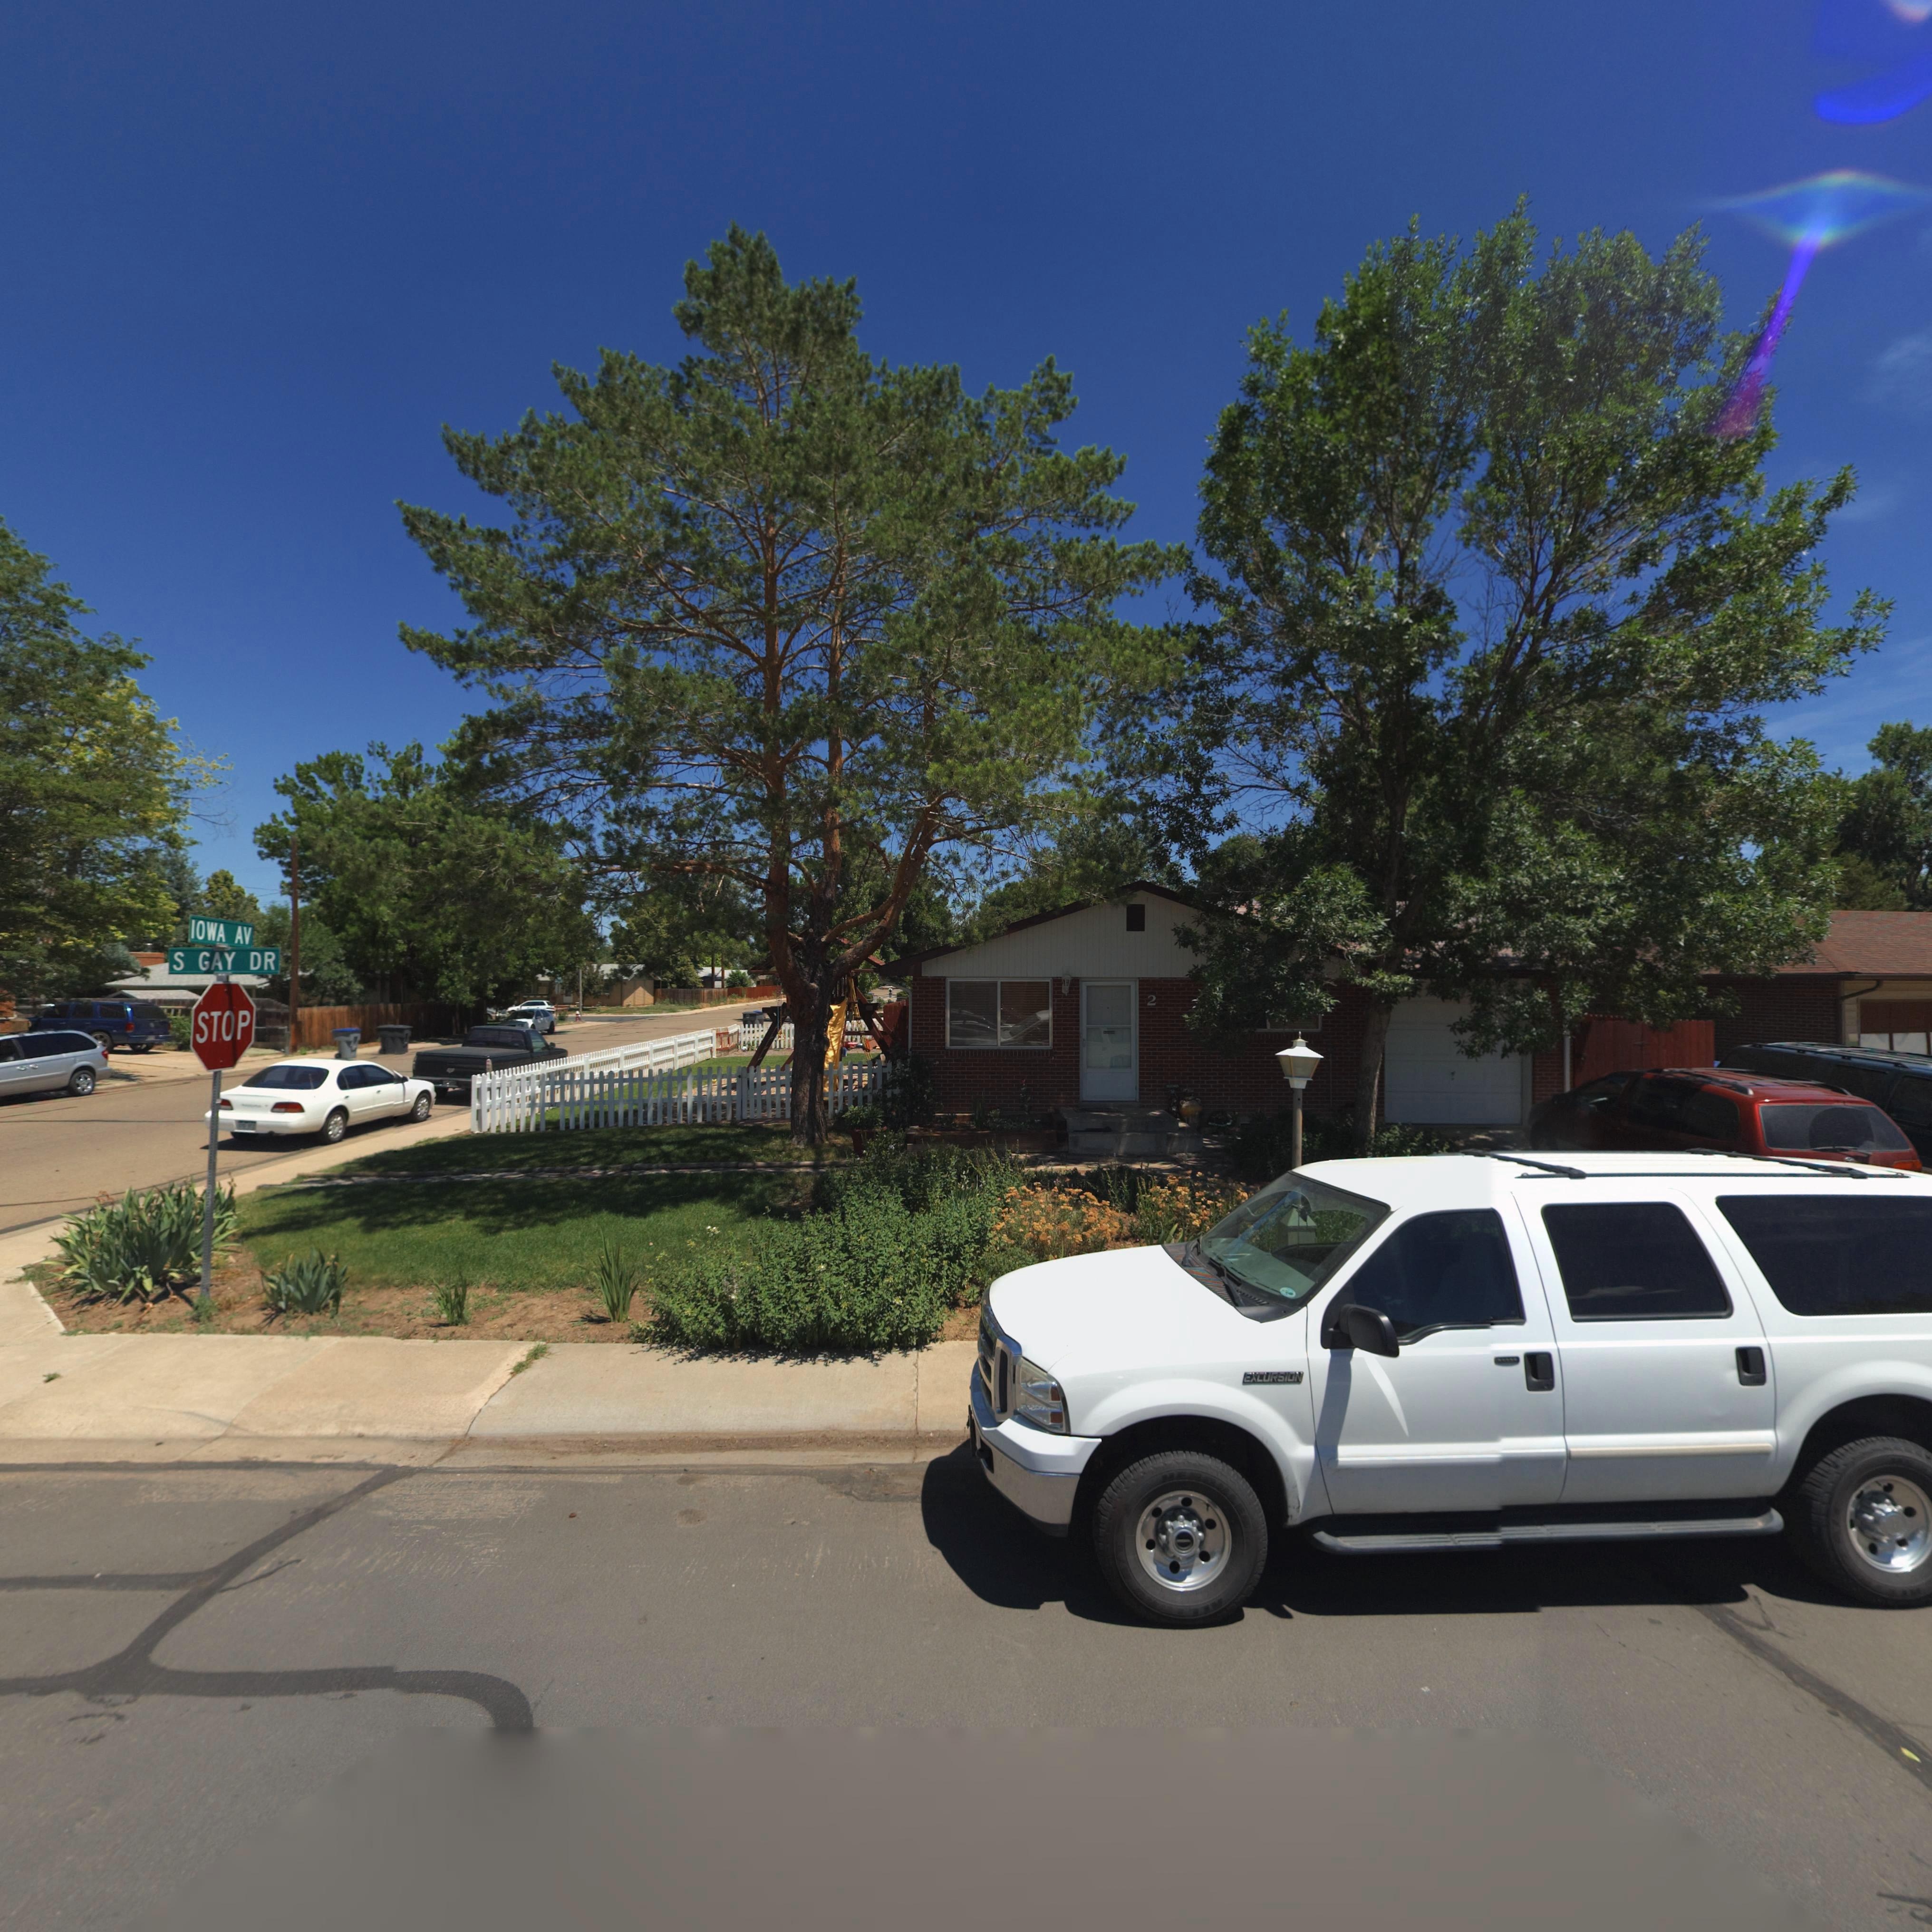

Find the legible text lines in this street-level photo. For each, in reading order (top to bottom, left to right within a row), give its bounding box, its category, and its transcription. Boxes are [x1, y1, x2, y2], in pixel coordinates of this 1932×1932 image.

[190, 918, 253, 945] StreetName: IOWA AV
[172, 951, 277, 971] StreetName: S GAY DR
[1146, 994, 1157, 1006] StreetNumber: 2